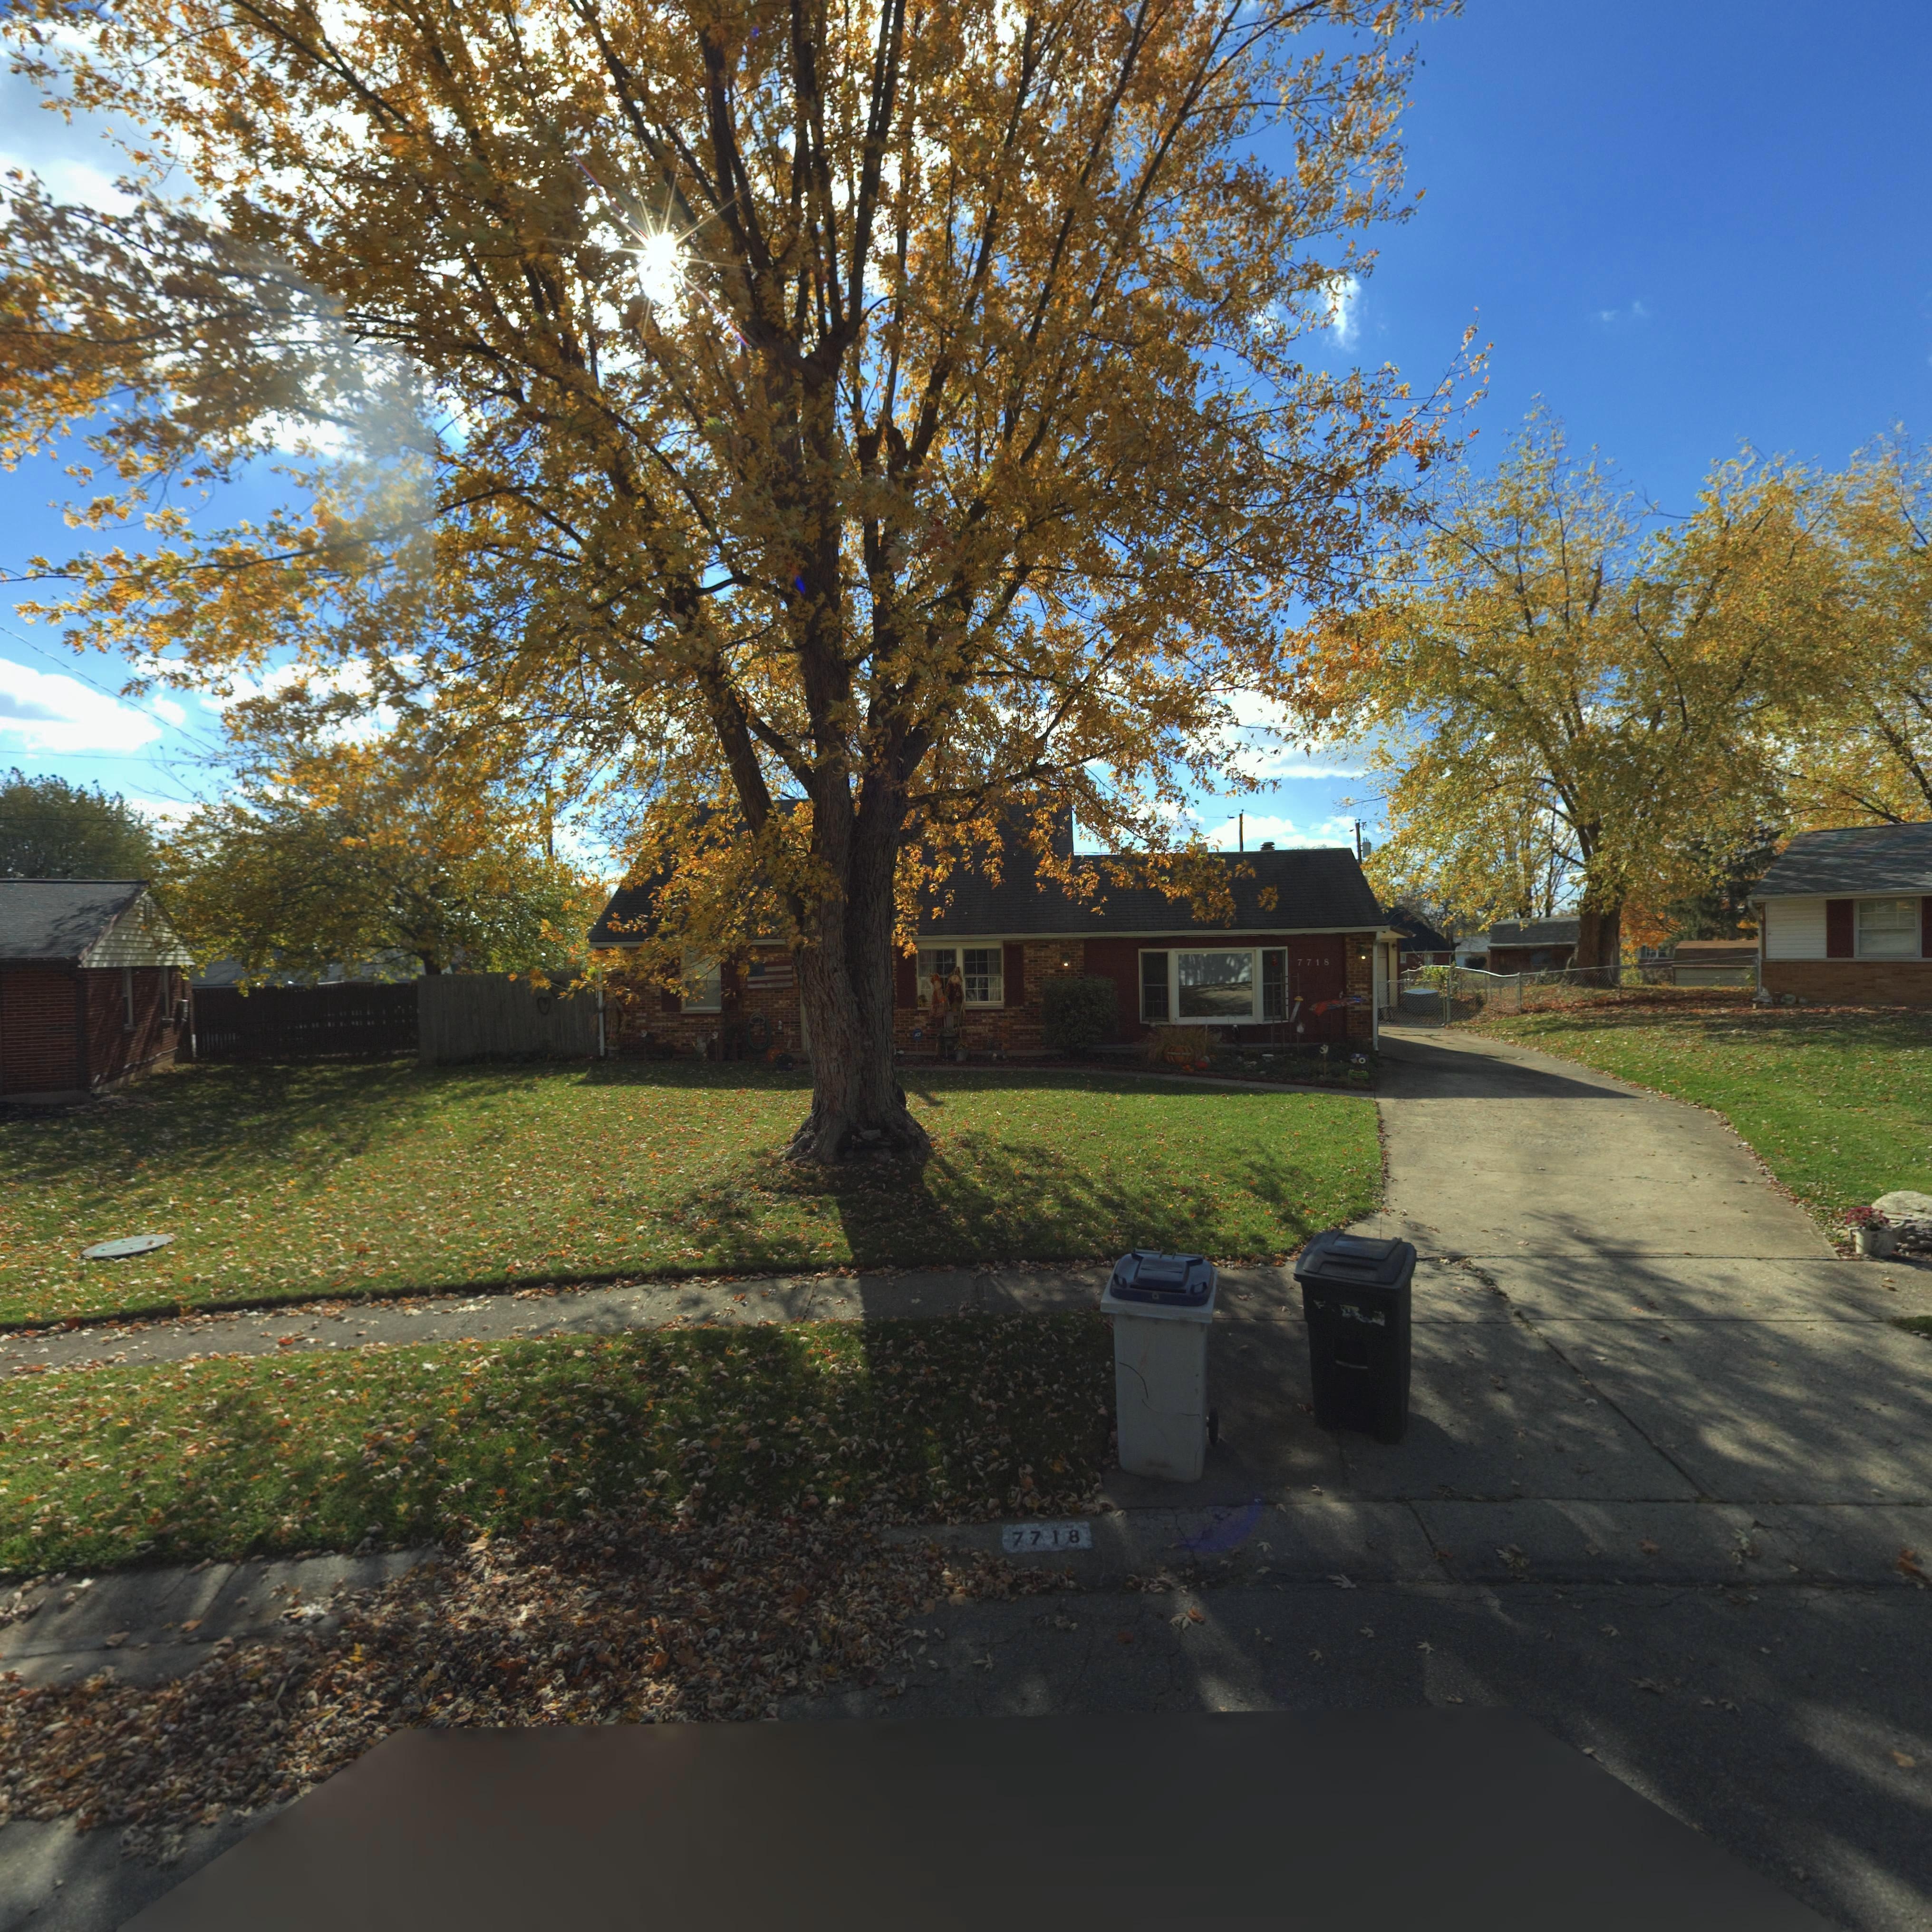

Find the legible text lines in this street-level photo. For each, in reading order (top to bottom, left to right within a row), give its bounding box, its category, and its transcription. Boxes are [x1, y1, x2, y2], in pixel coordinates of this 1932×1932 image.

[1296, 958, 1330, 966] StreetNumber: 7718
[1011, 1528, 1081, 1548] StreetNumber: 7718